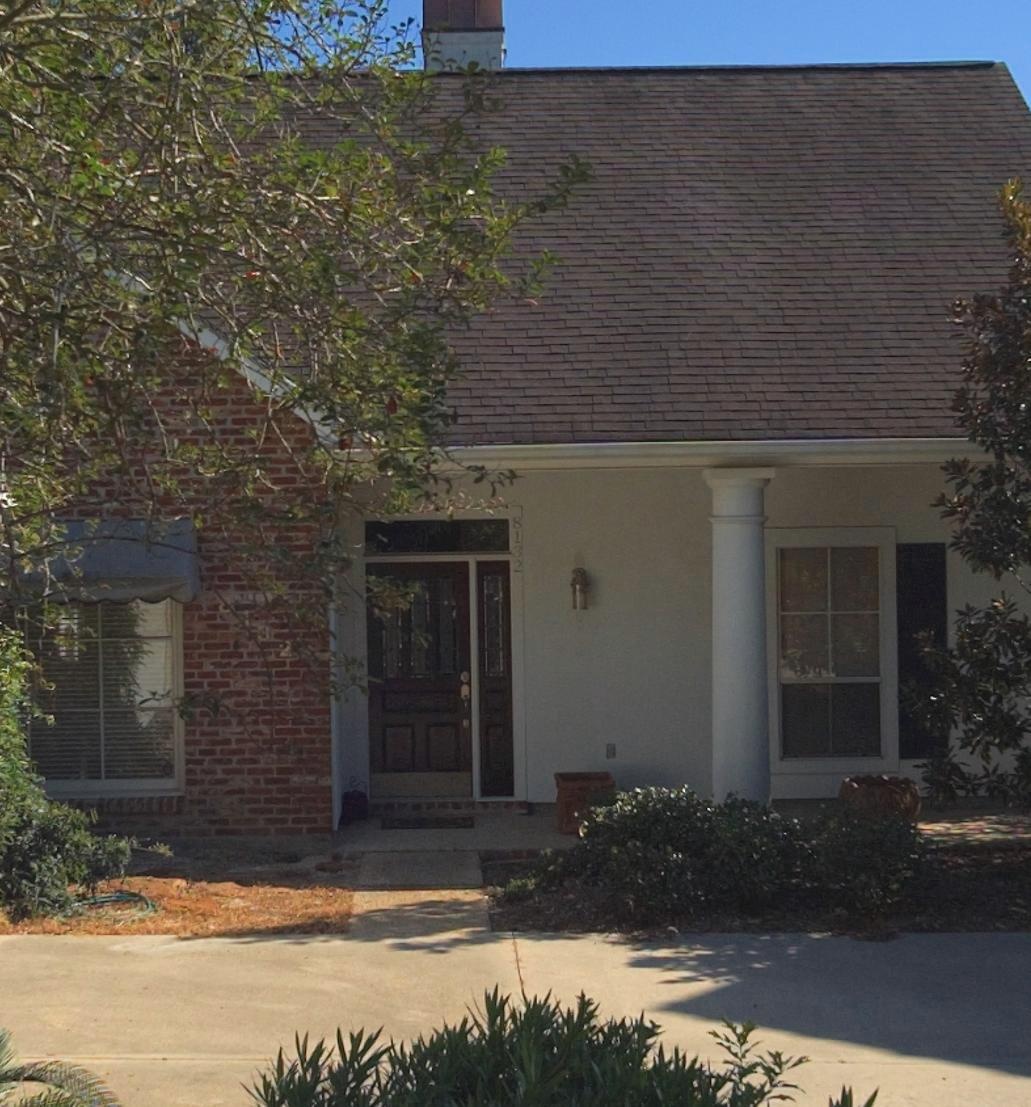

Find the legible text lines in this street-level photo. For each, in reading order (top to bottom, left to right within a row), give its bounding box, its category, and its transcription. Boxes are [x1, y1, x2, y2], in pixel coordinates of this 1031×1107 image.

[510, 515, 524, 574] StreetNumber: 8132